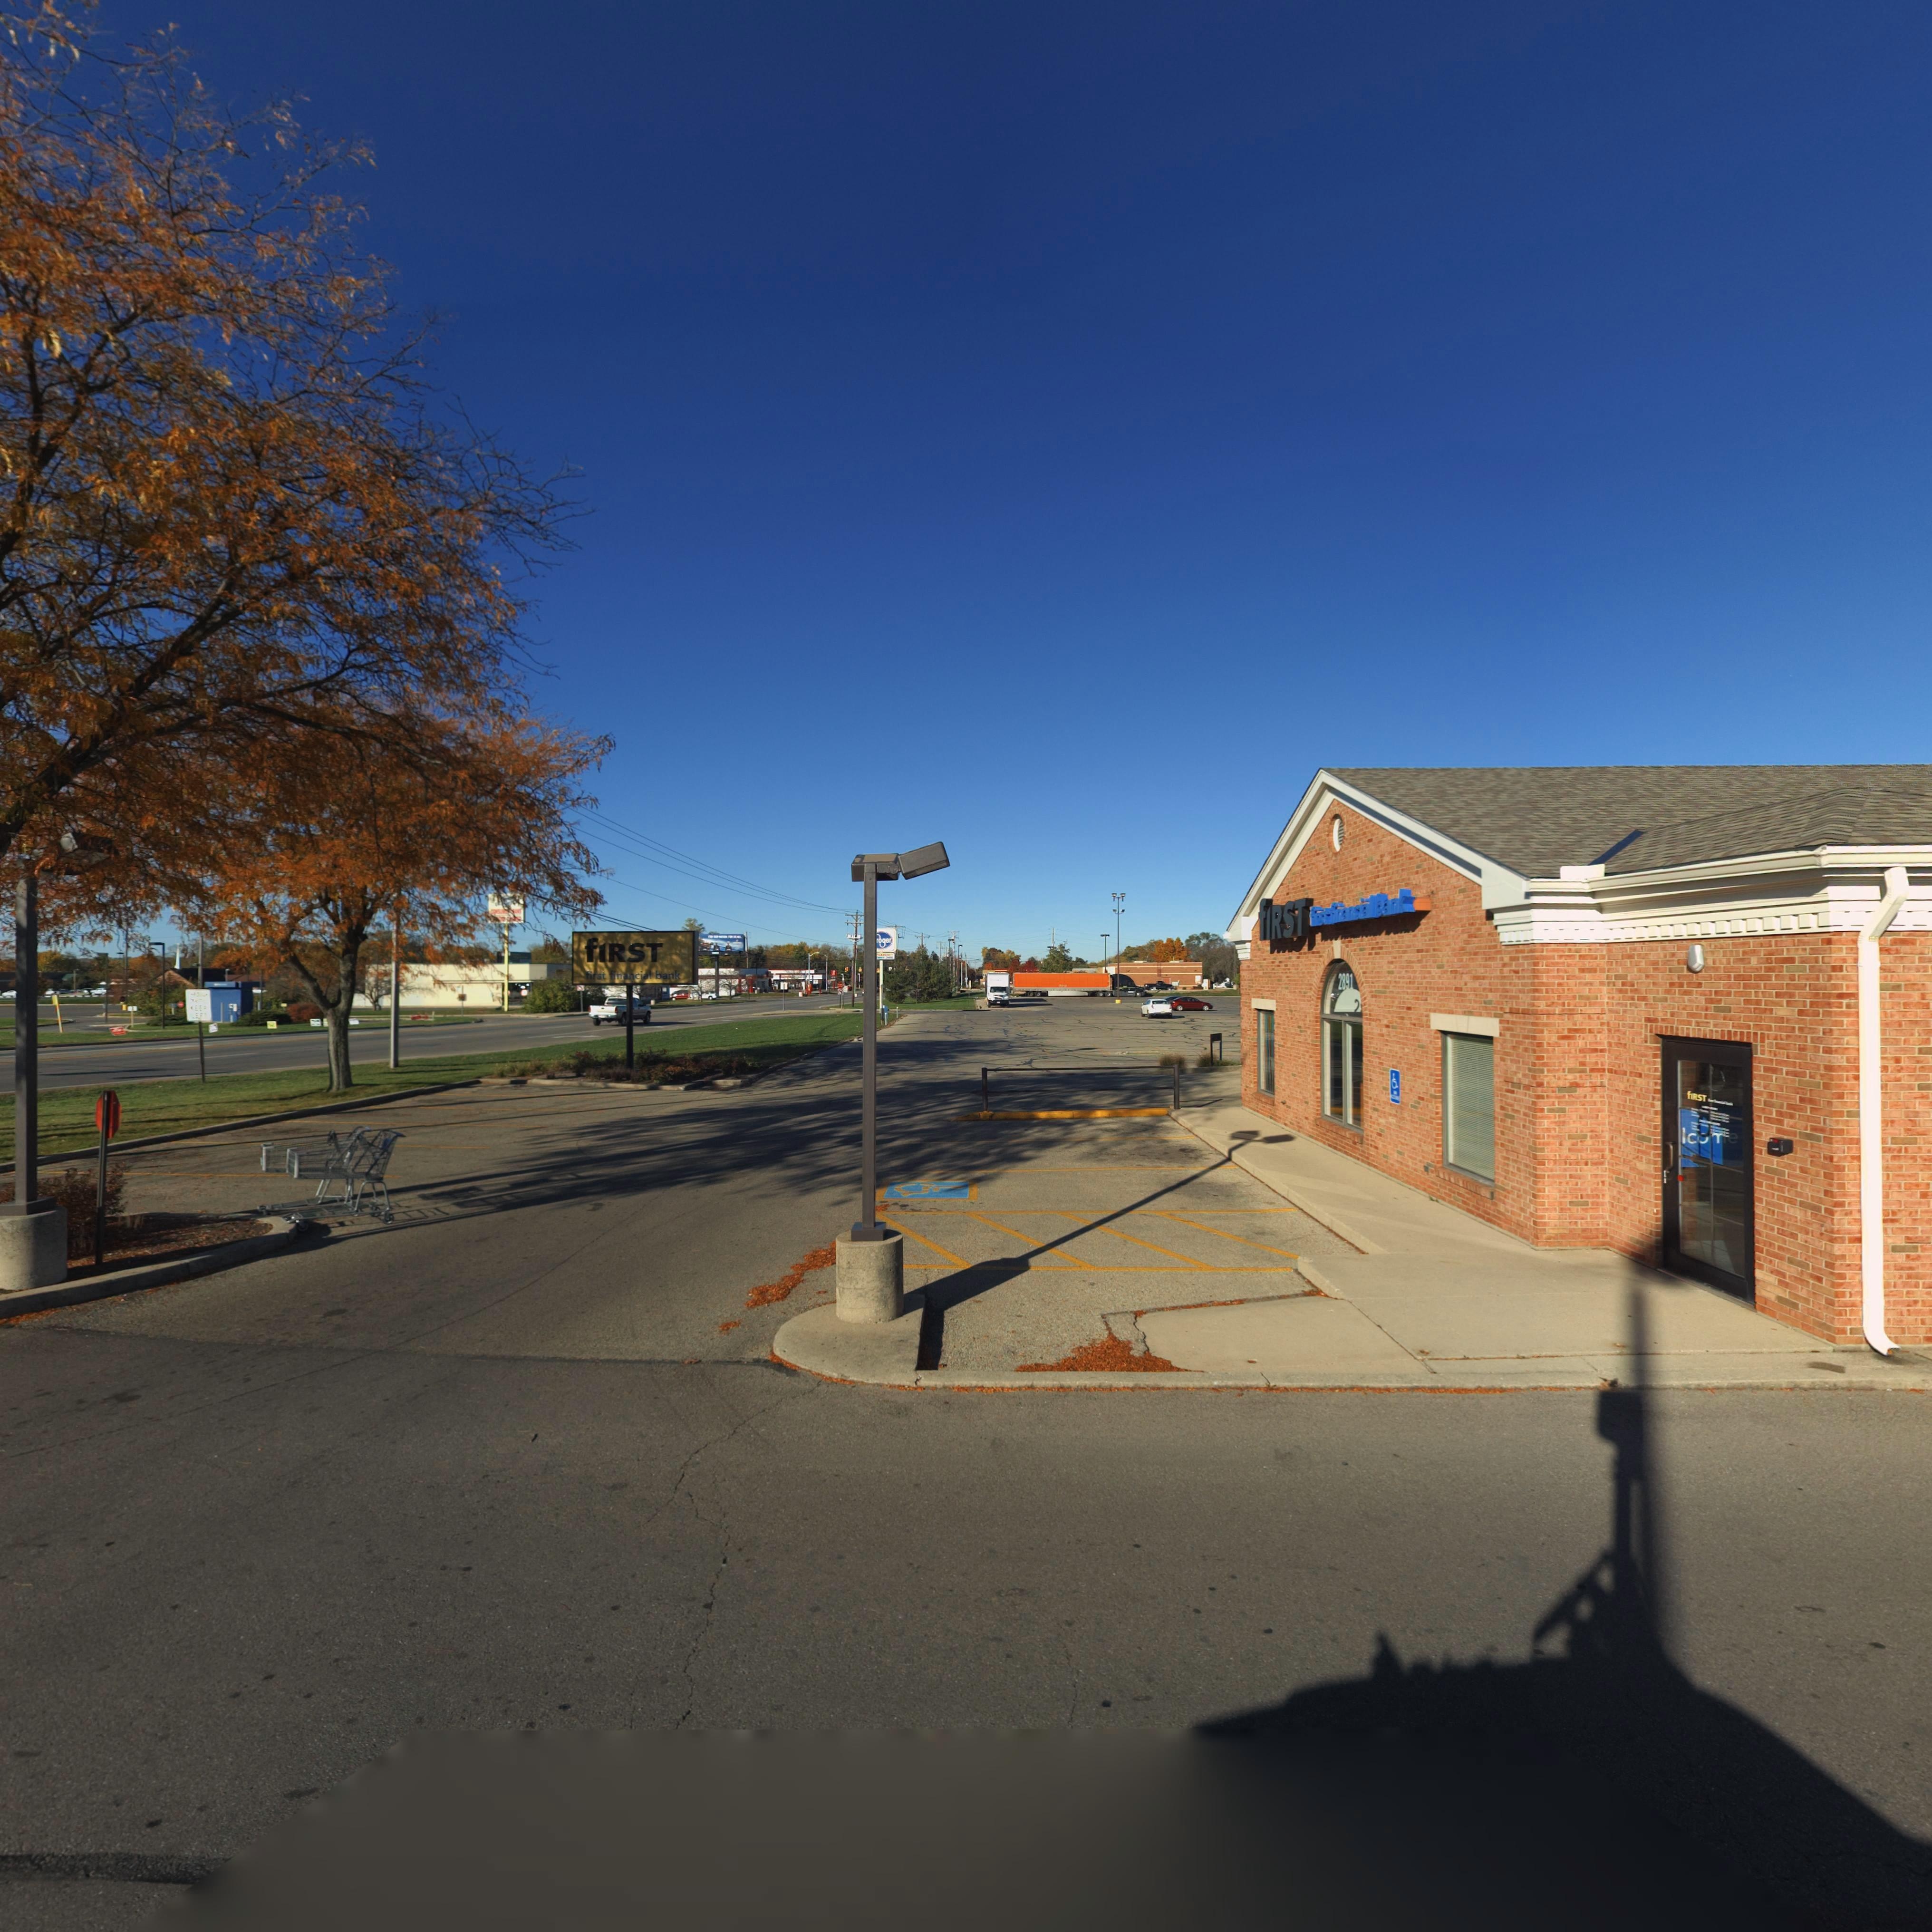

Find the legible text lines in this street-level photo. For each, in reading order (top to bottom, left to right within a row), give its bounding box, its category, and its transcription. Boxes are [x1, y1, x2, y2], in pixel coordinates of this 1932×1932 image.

[1337, 972, 1355, 991] StreetNumber: 2891